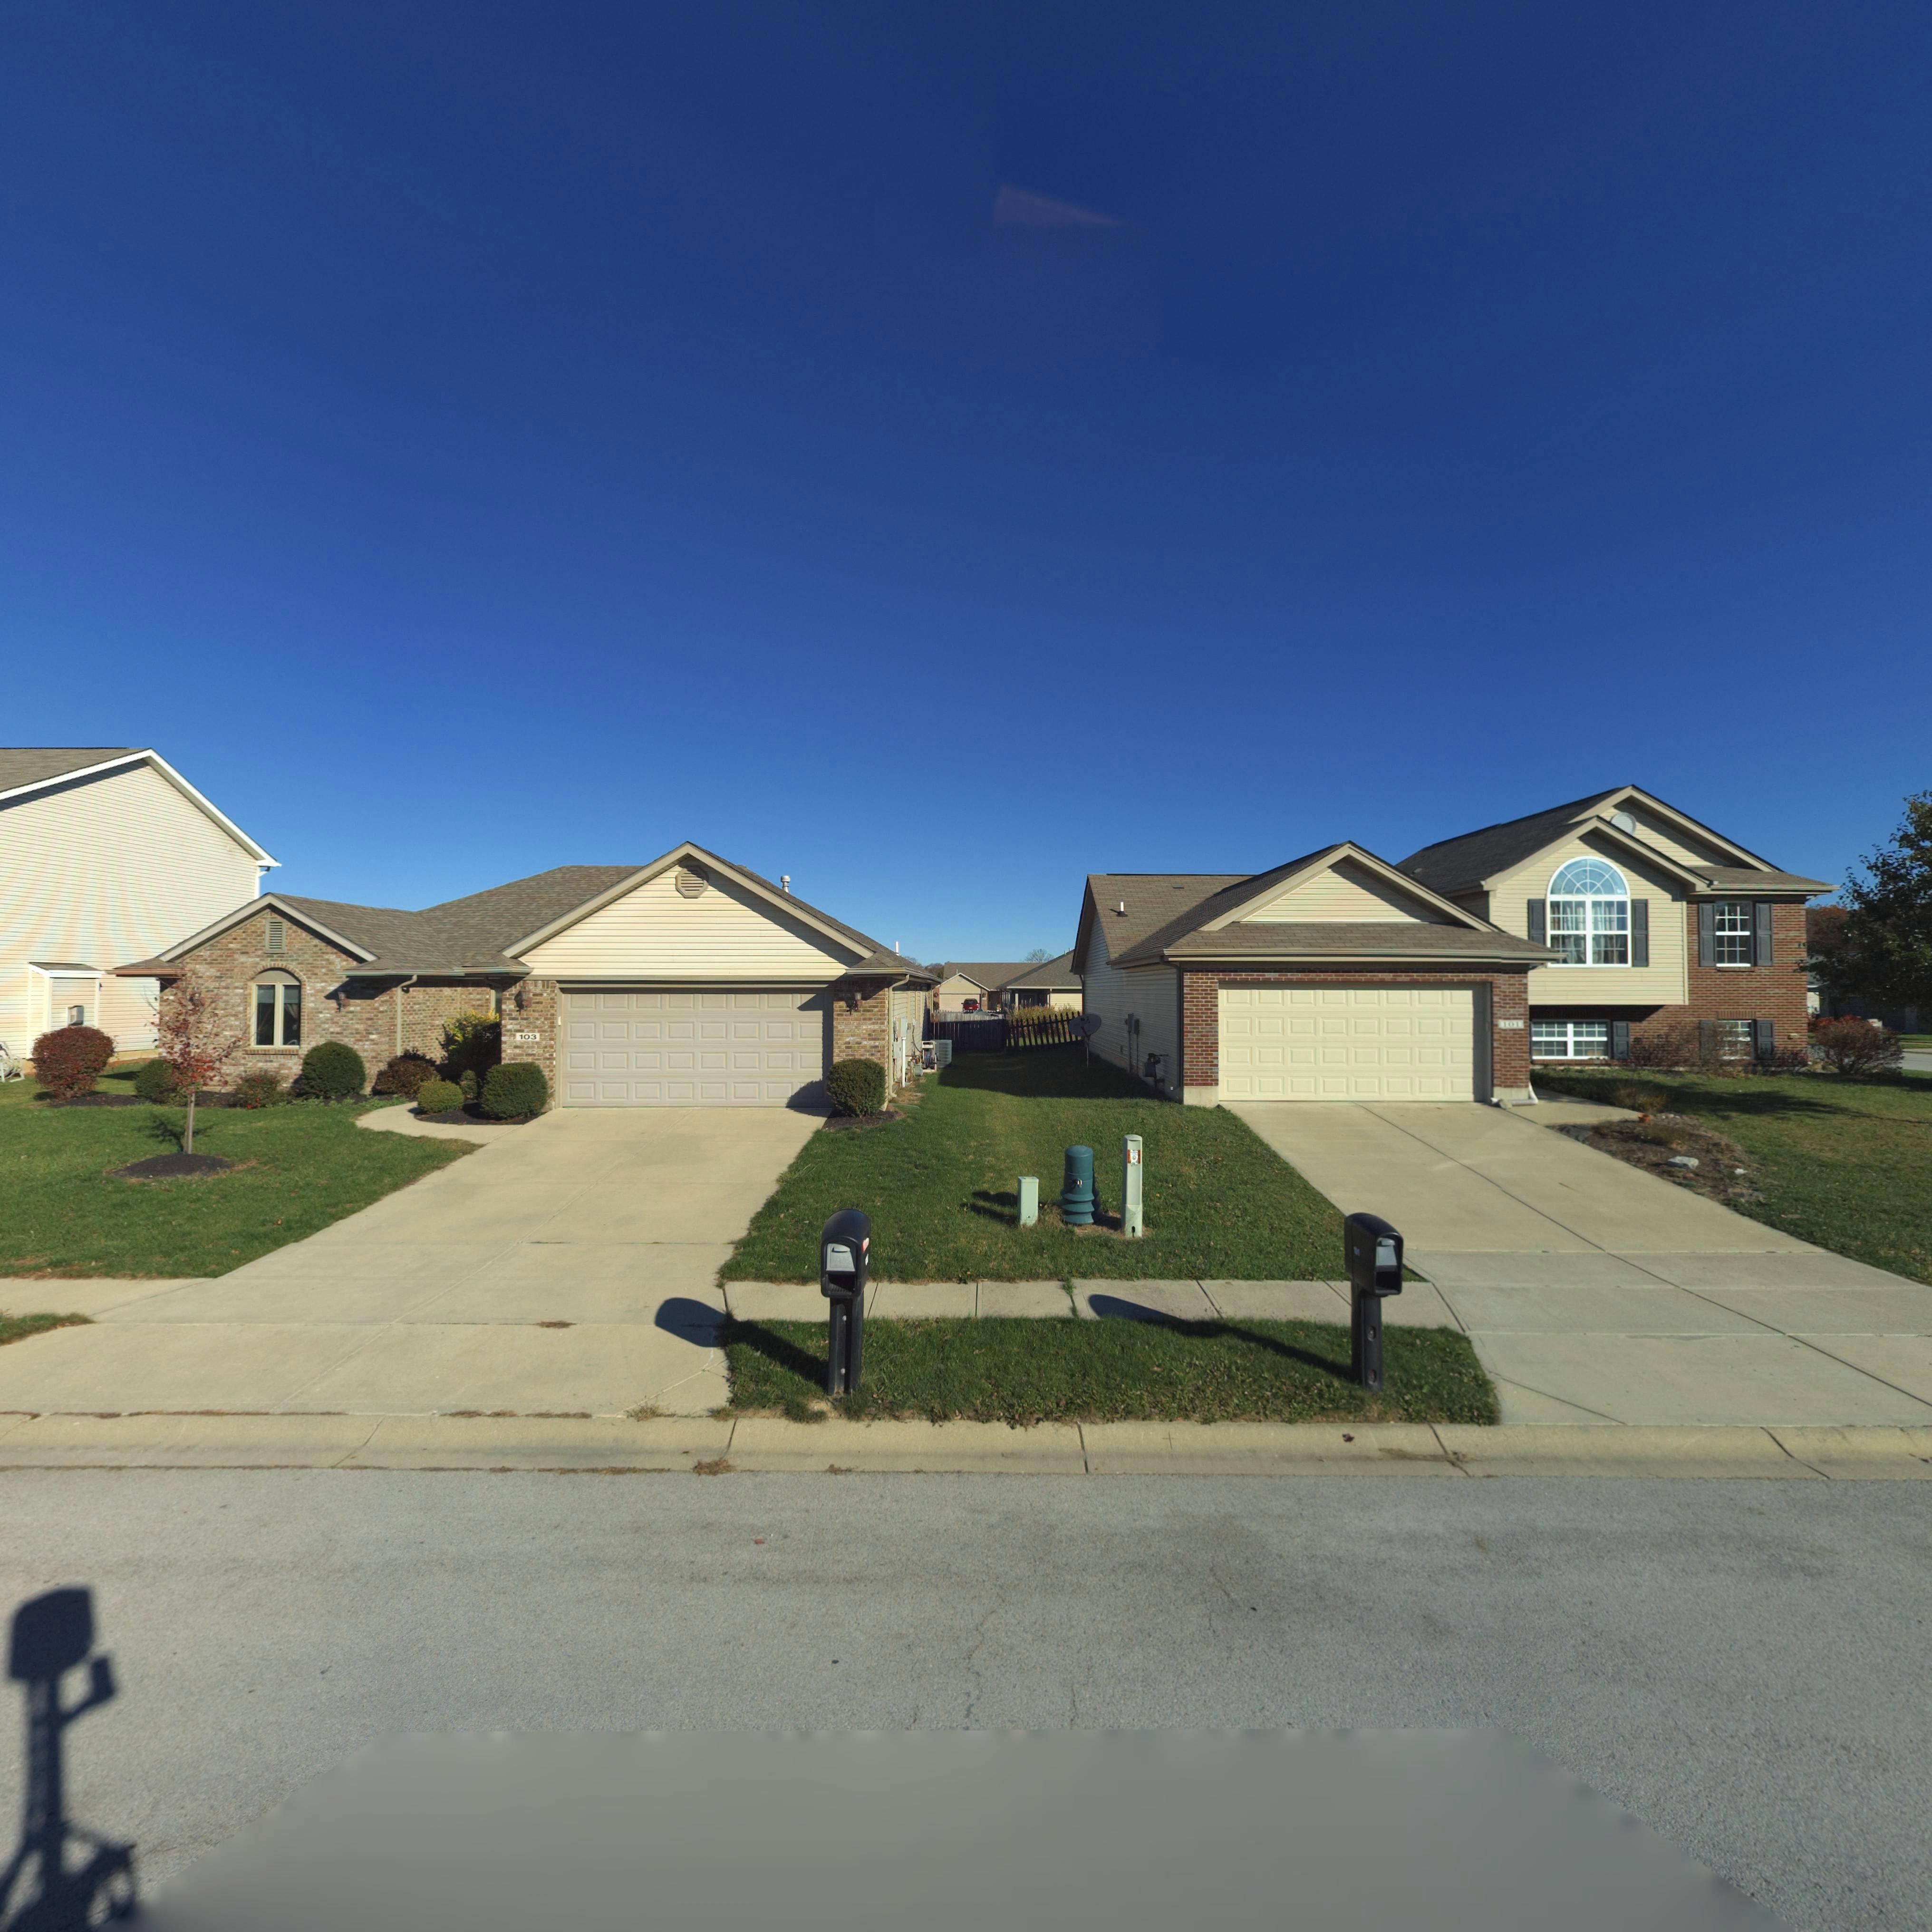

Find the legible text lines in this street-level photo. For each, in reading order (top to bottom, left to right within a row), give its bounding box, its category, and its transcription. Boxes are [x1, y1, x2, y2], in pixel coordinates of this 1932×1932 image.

[1502, 1020, 1520, 1028] StreetNumber: 101
[518, 1033, 538, 1041] StreetNumber: 103